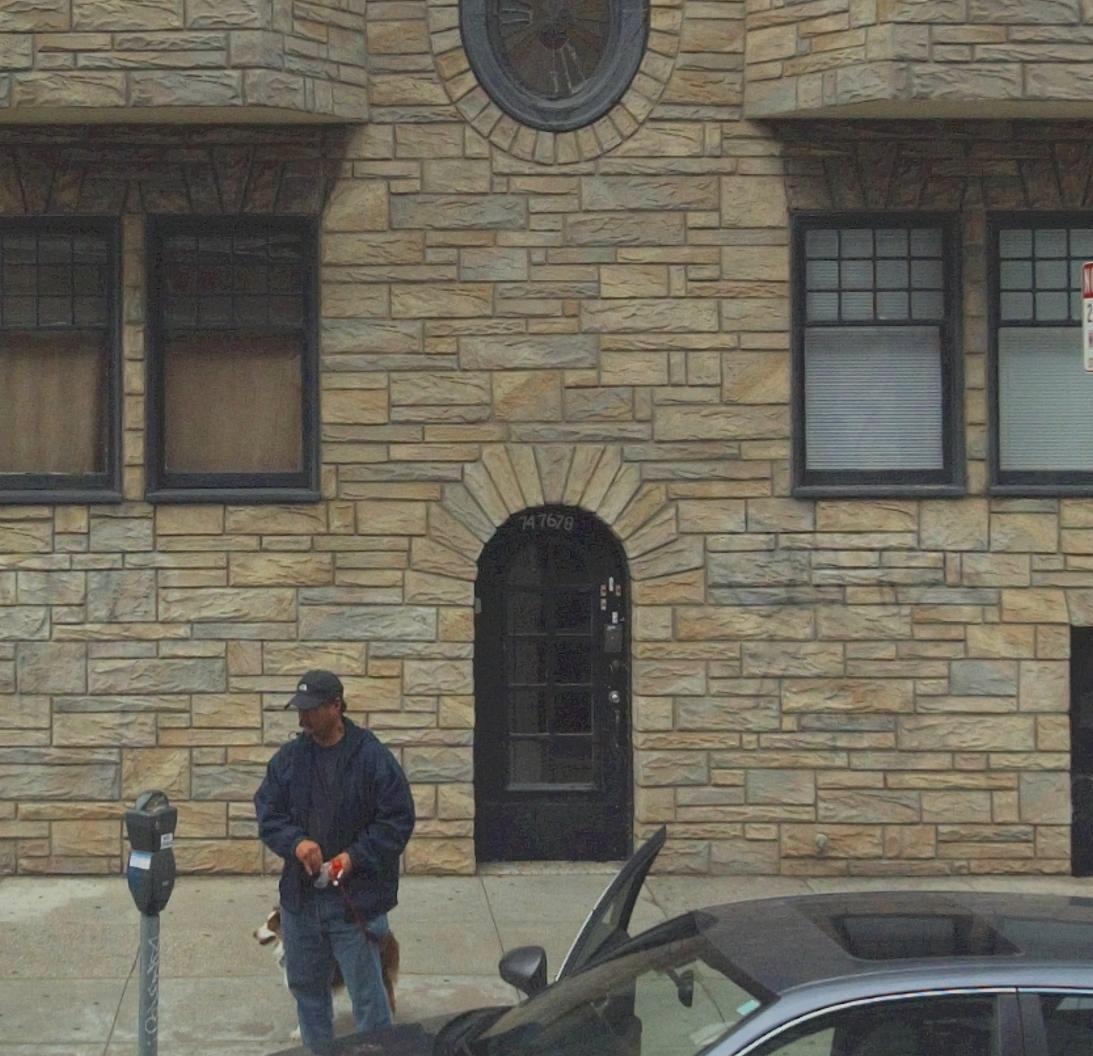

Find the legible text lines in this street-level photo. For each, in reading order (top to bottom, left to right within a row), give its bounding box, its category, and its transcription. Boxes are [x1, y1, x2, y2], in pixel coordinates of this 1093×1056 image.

[517, 513, 536, 531] StreetNumber: 74
[536, 511, 558, 529] StreetNumber: 76
[554, 513, 577, 533] StreetNumber: 78